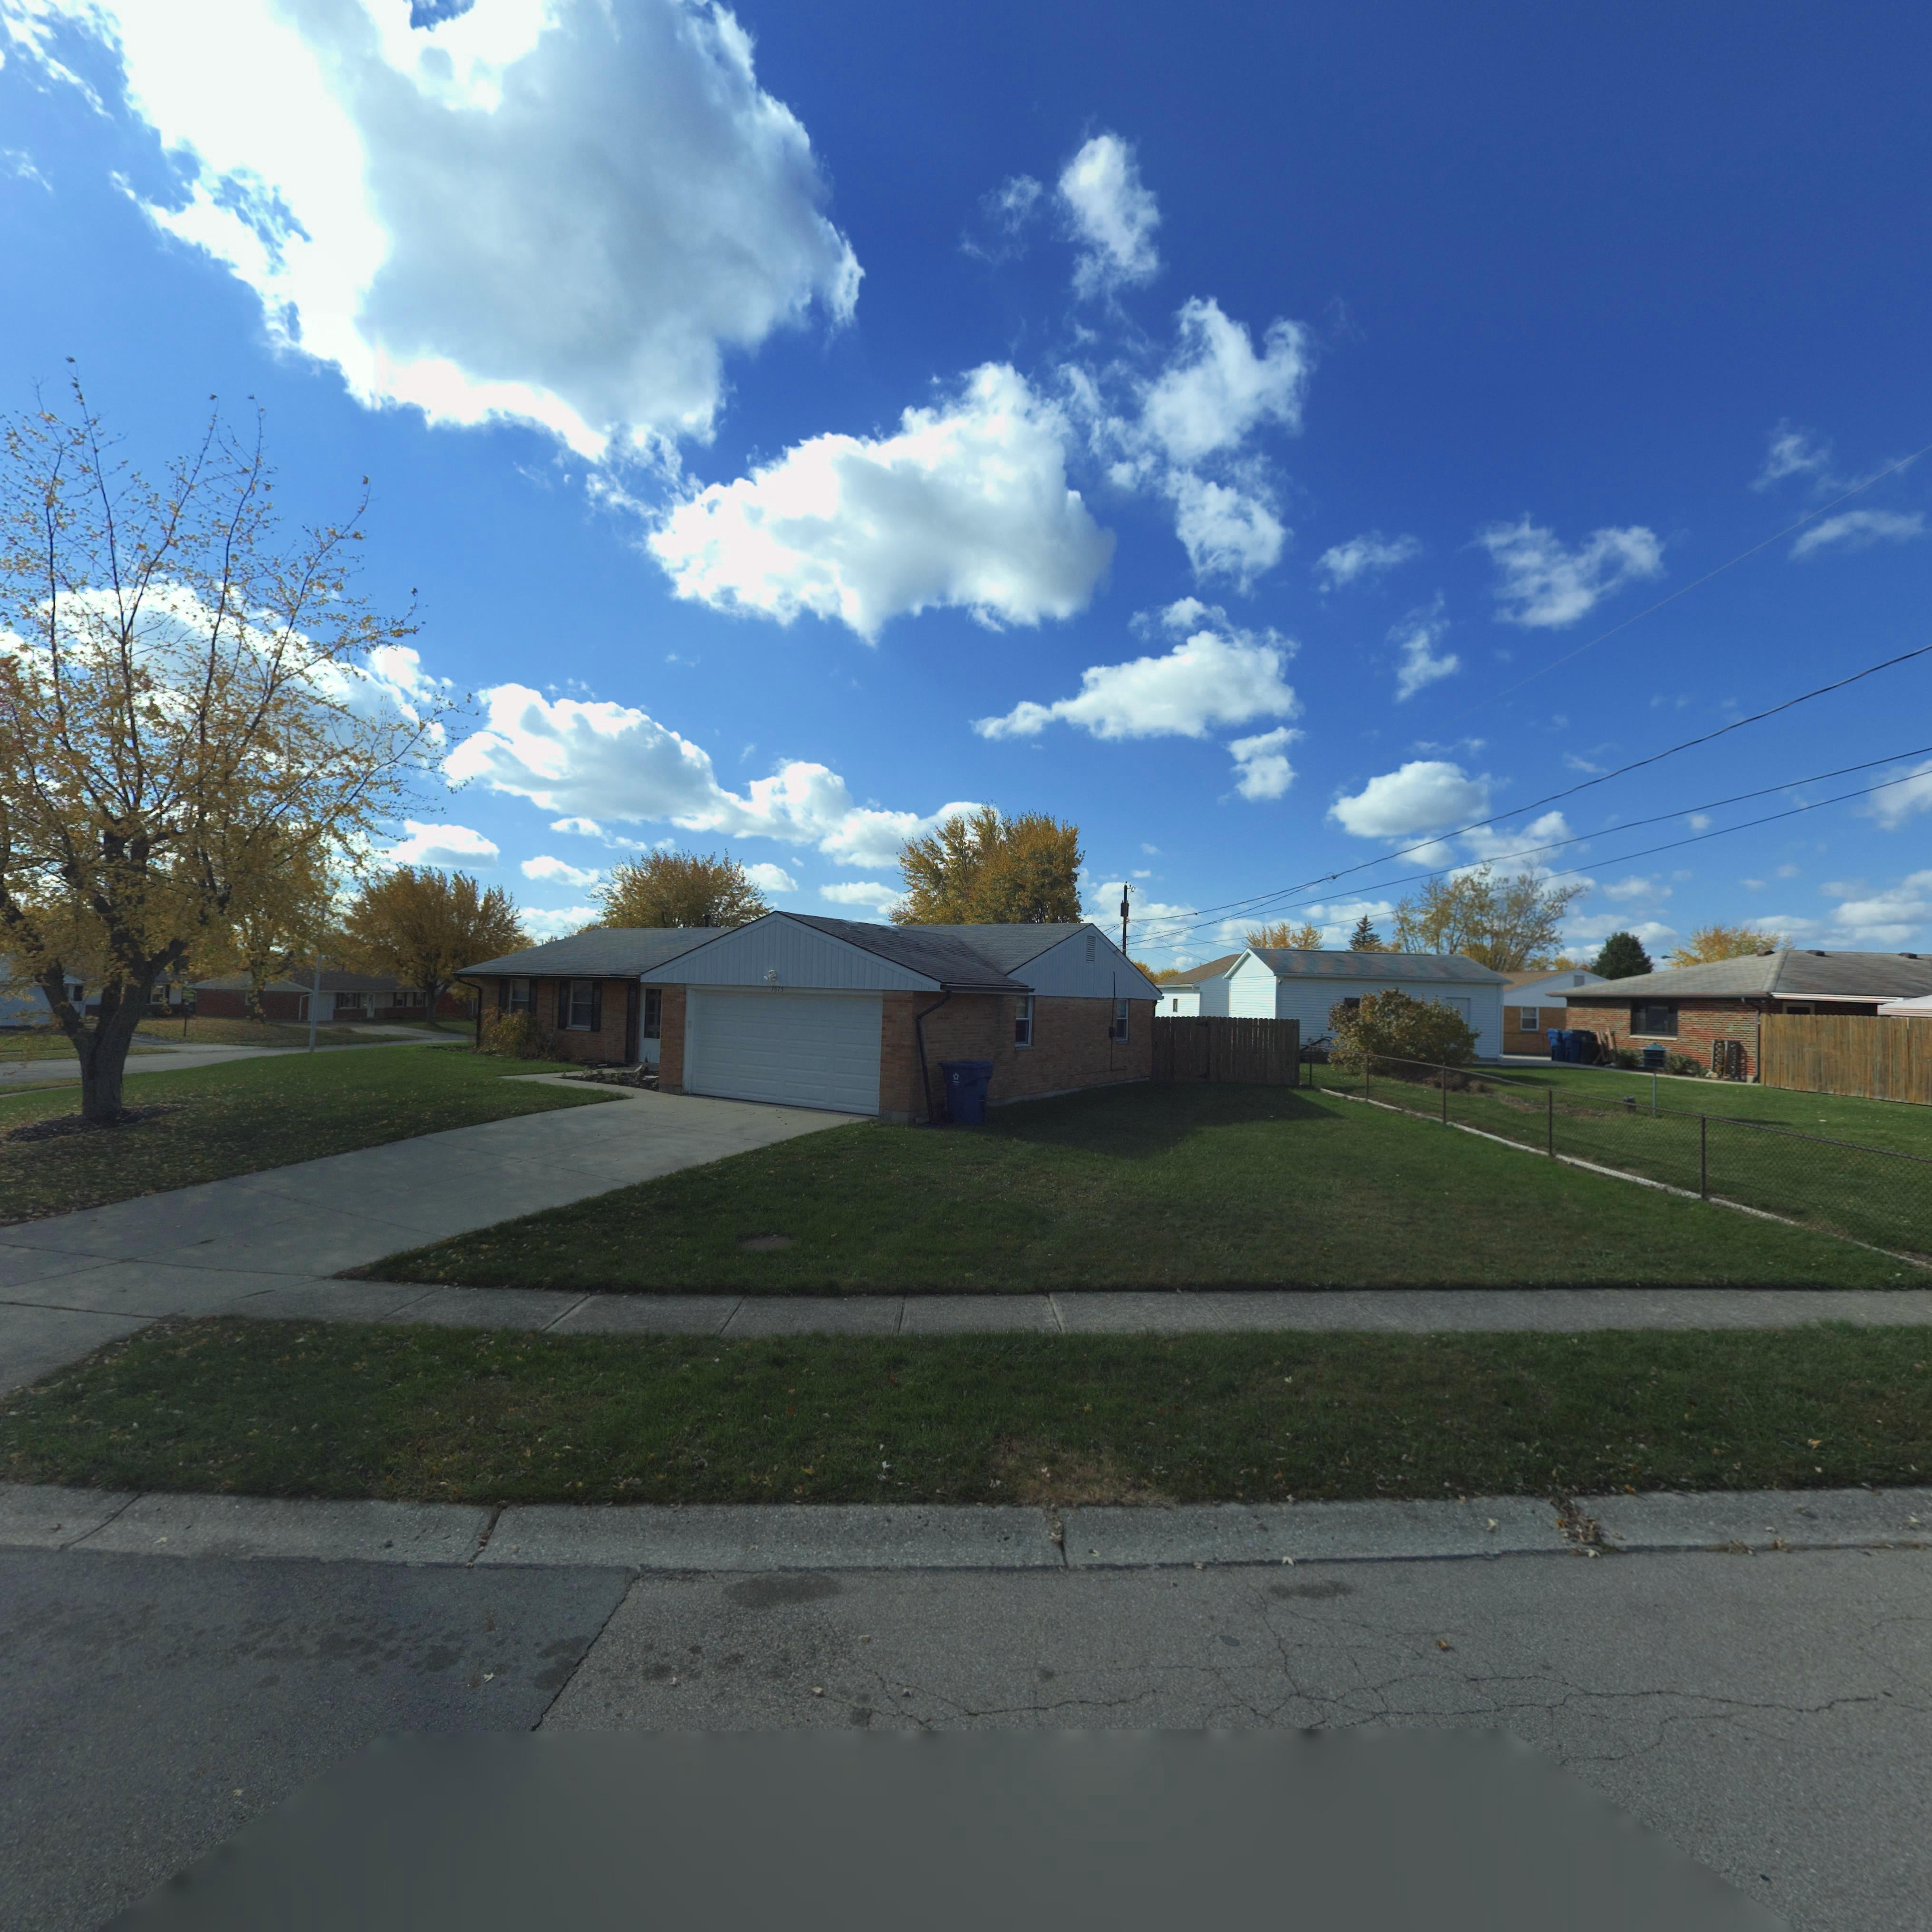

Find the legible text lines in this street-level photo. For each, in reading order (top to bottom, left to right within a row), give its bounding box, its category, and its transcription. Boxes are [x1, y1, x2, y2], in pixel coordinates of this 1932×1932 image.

[770, 985, 784, 993] StreetNumber: 7675